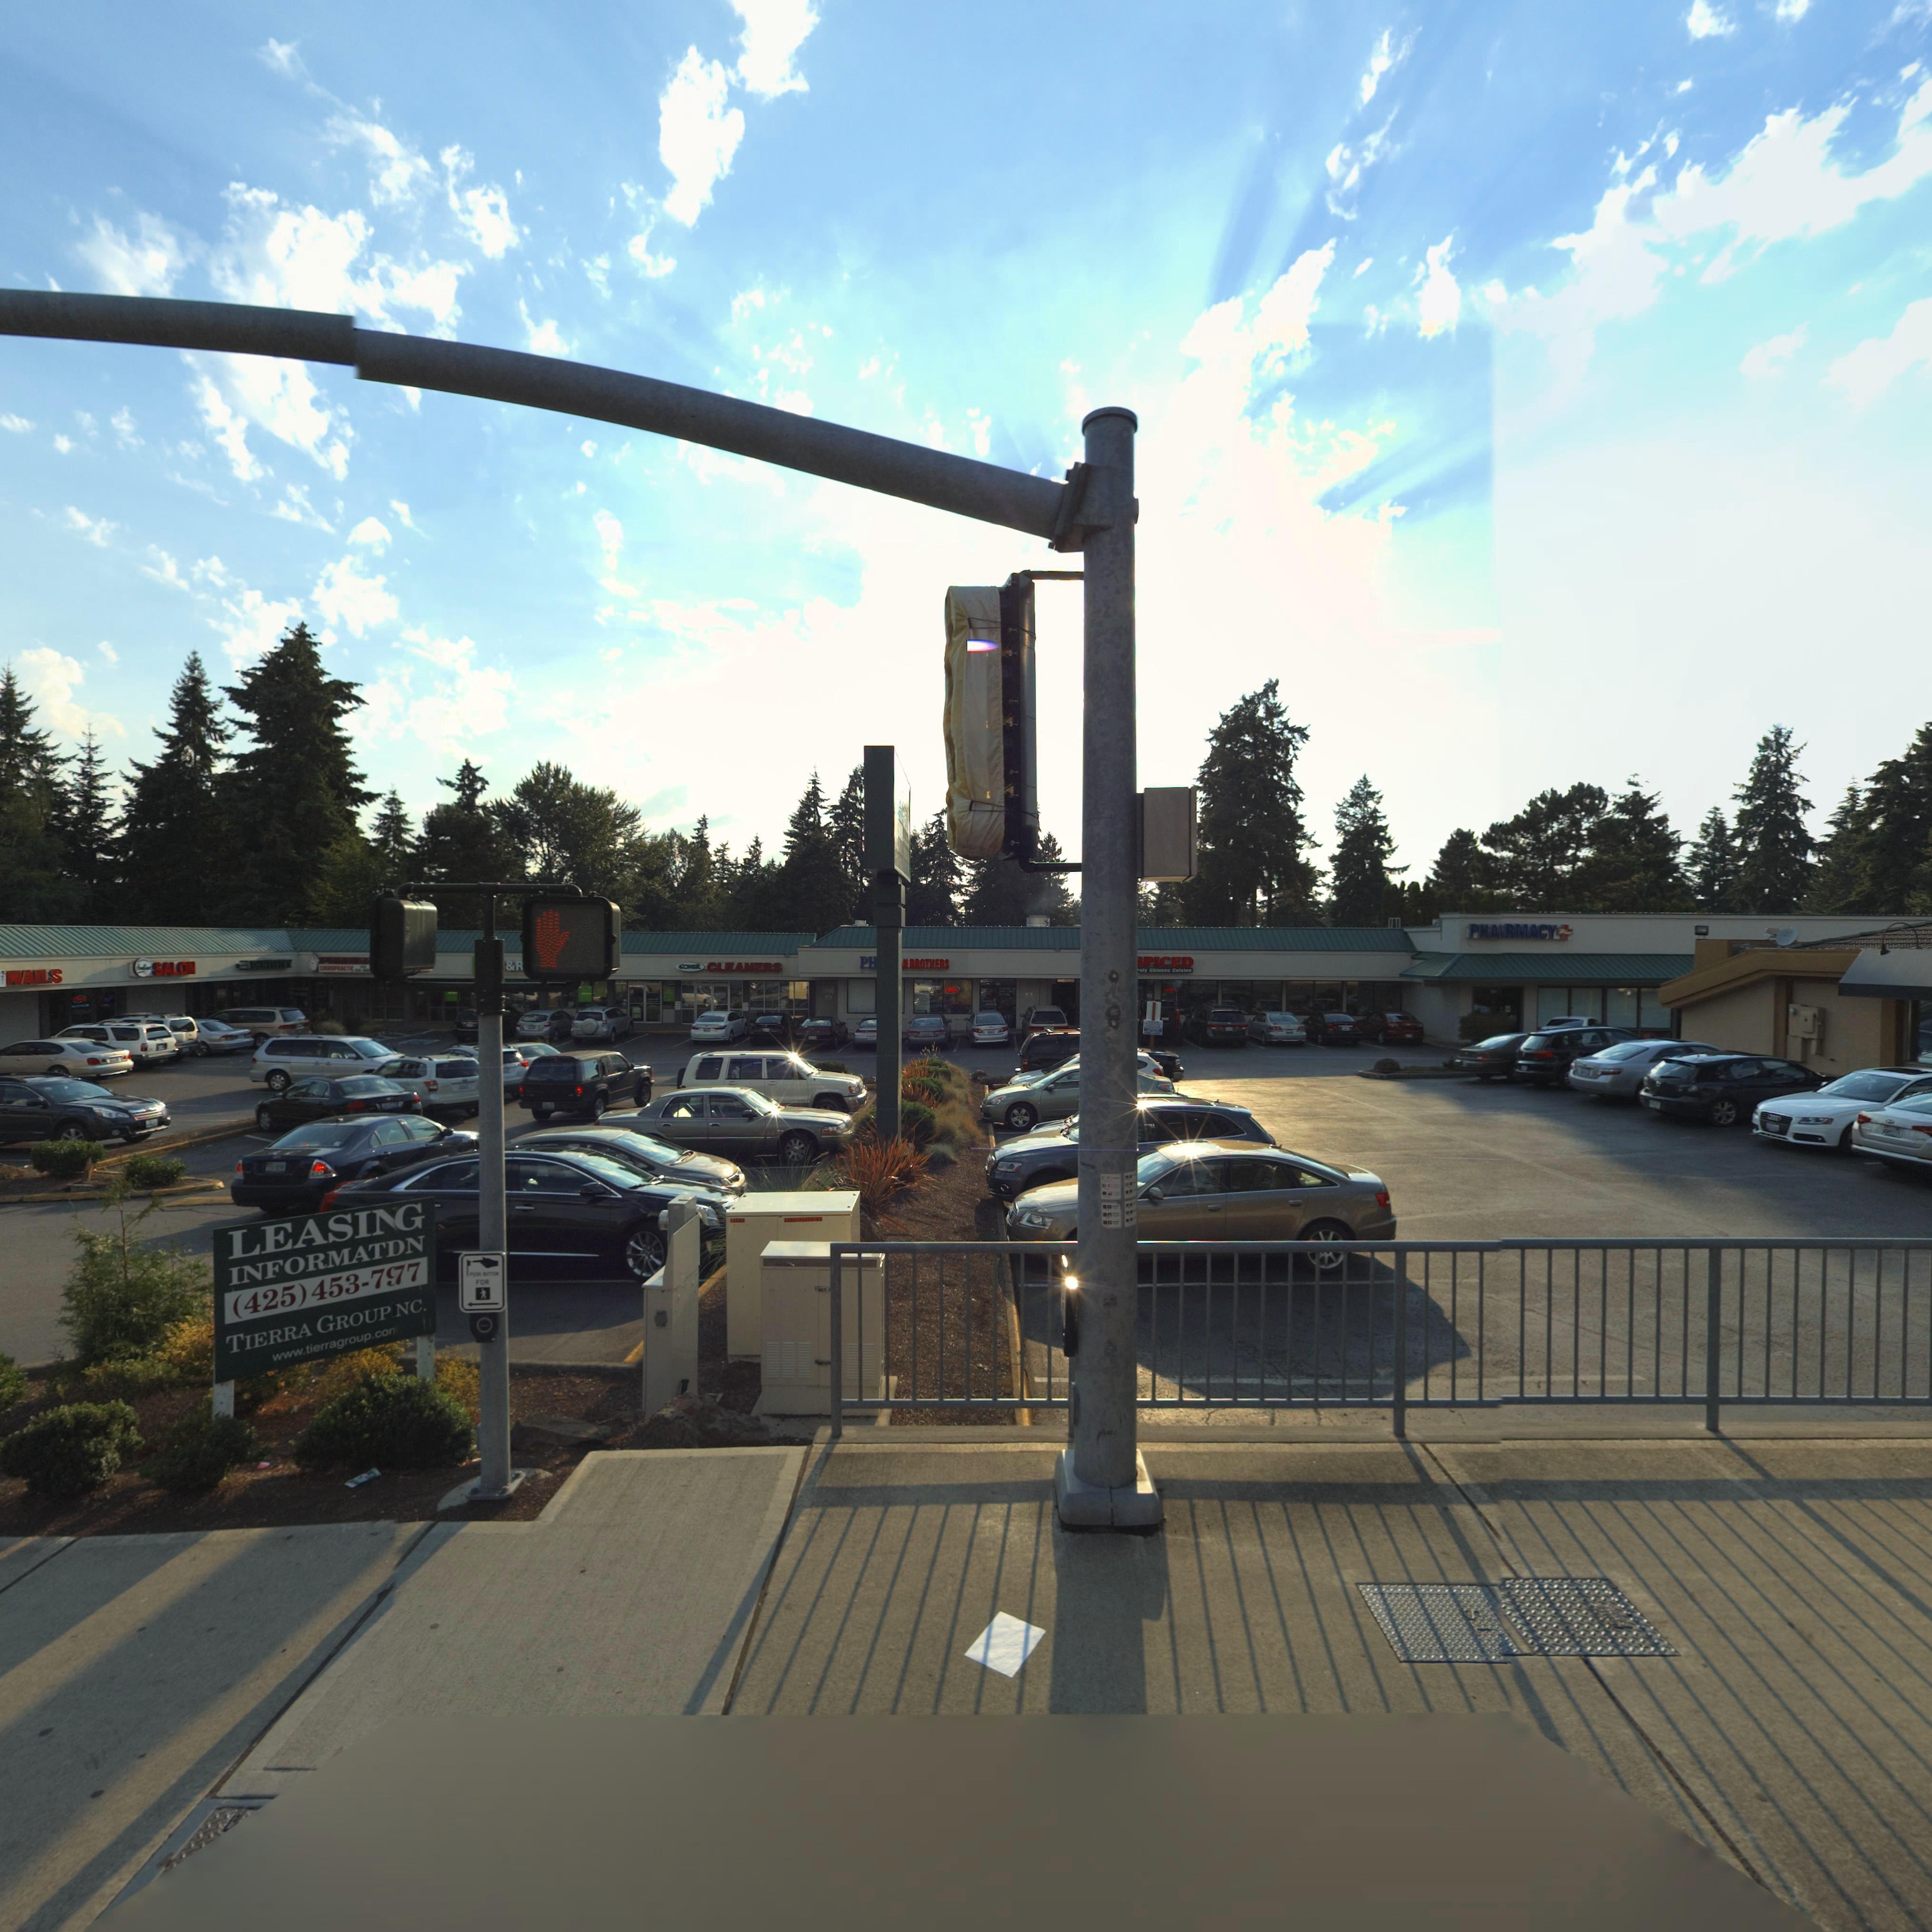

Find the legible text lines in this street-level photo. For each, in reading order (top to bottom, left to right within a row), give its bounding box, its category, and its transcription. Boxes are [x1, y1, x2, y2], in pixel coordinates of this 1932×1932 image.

[1468, 923, 1558, 939] BusinessName: P**RMACY
[7, 968, 63, 985] BusinessName: *AILS
[154, 960, 195, 977] BusinessName: SALON
[859, 956, 868, 969] BusinessName: P
[909, 958, 949, 969] BusinessName: BROTHERS
[1144, 956, 1195, 968] BusinessName: PICED